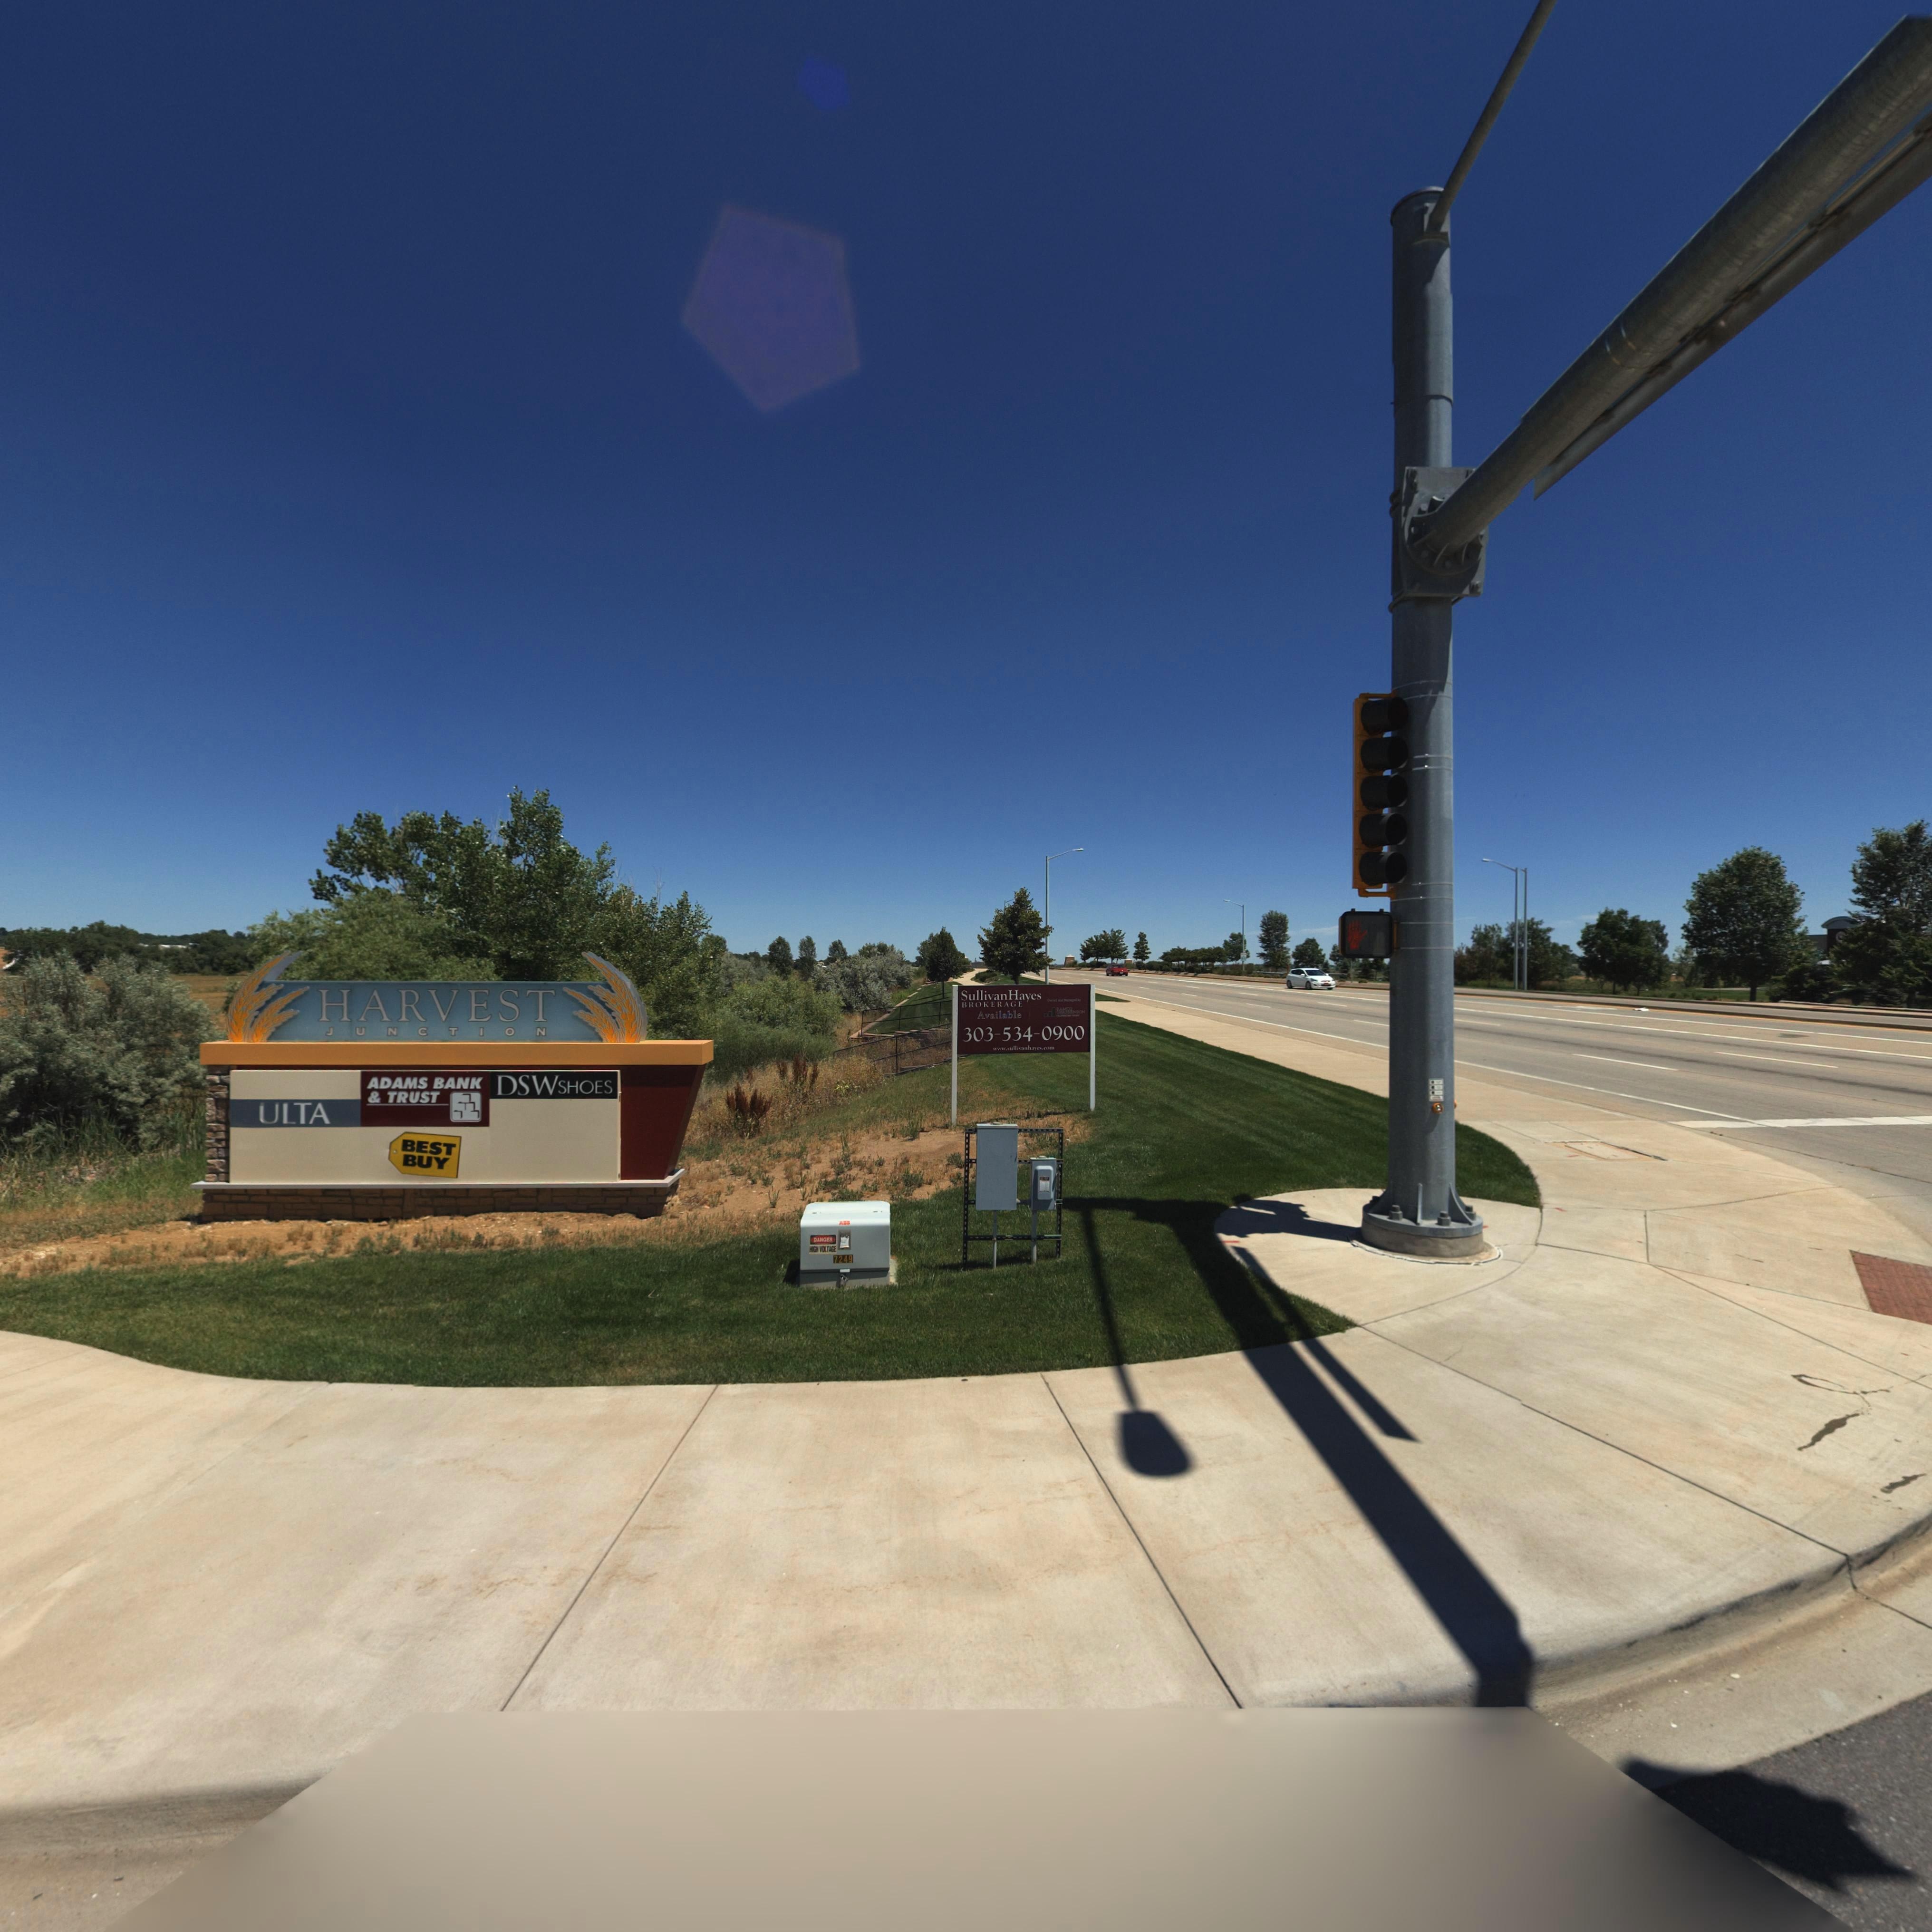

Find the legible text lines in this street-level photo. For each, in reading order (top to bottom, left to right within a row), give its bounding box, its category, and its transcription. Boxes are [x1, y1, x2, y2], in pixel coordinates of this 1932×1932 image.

[366, 1075, 483, 1089] BusinessName: ADAMS BANK
[496, 1074, 560, 1096] BusinessName: DSW
[558, 1079, 613, 1094] BusinessName: SHOES
[367, 1090, 441, 1103] BusinessName: & TRUST
[258, 1101, 331, 1124] BusinessName: ULTA
[401, 1138, 456, 1156] BusinessName: BEST
[402, 1153, 450, 1170] BusinessName: BUY